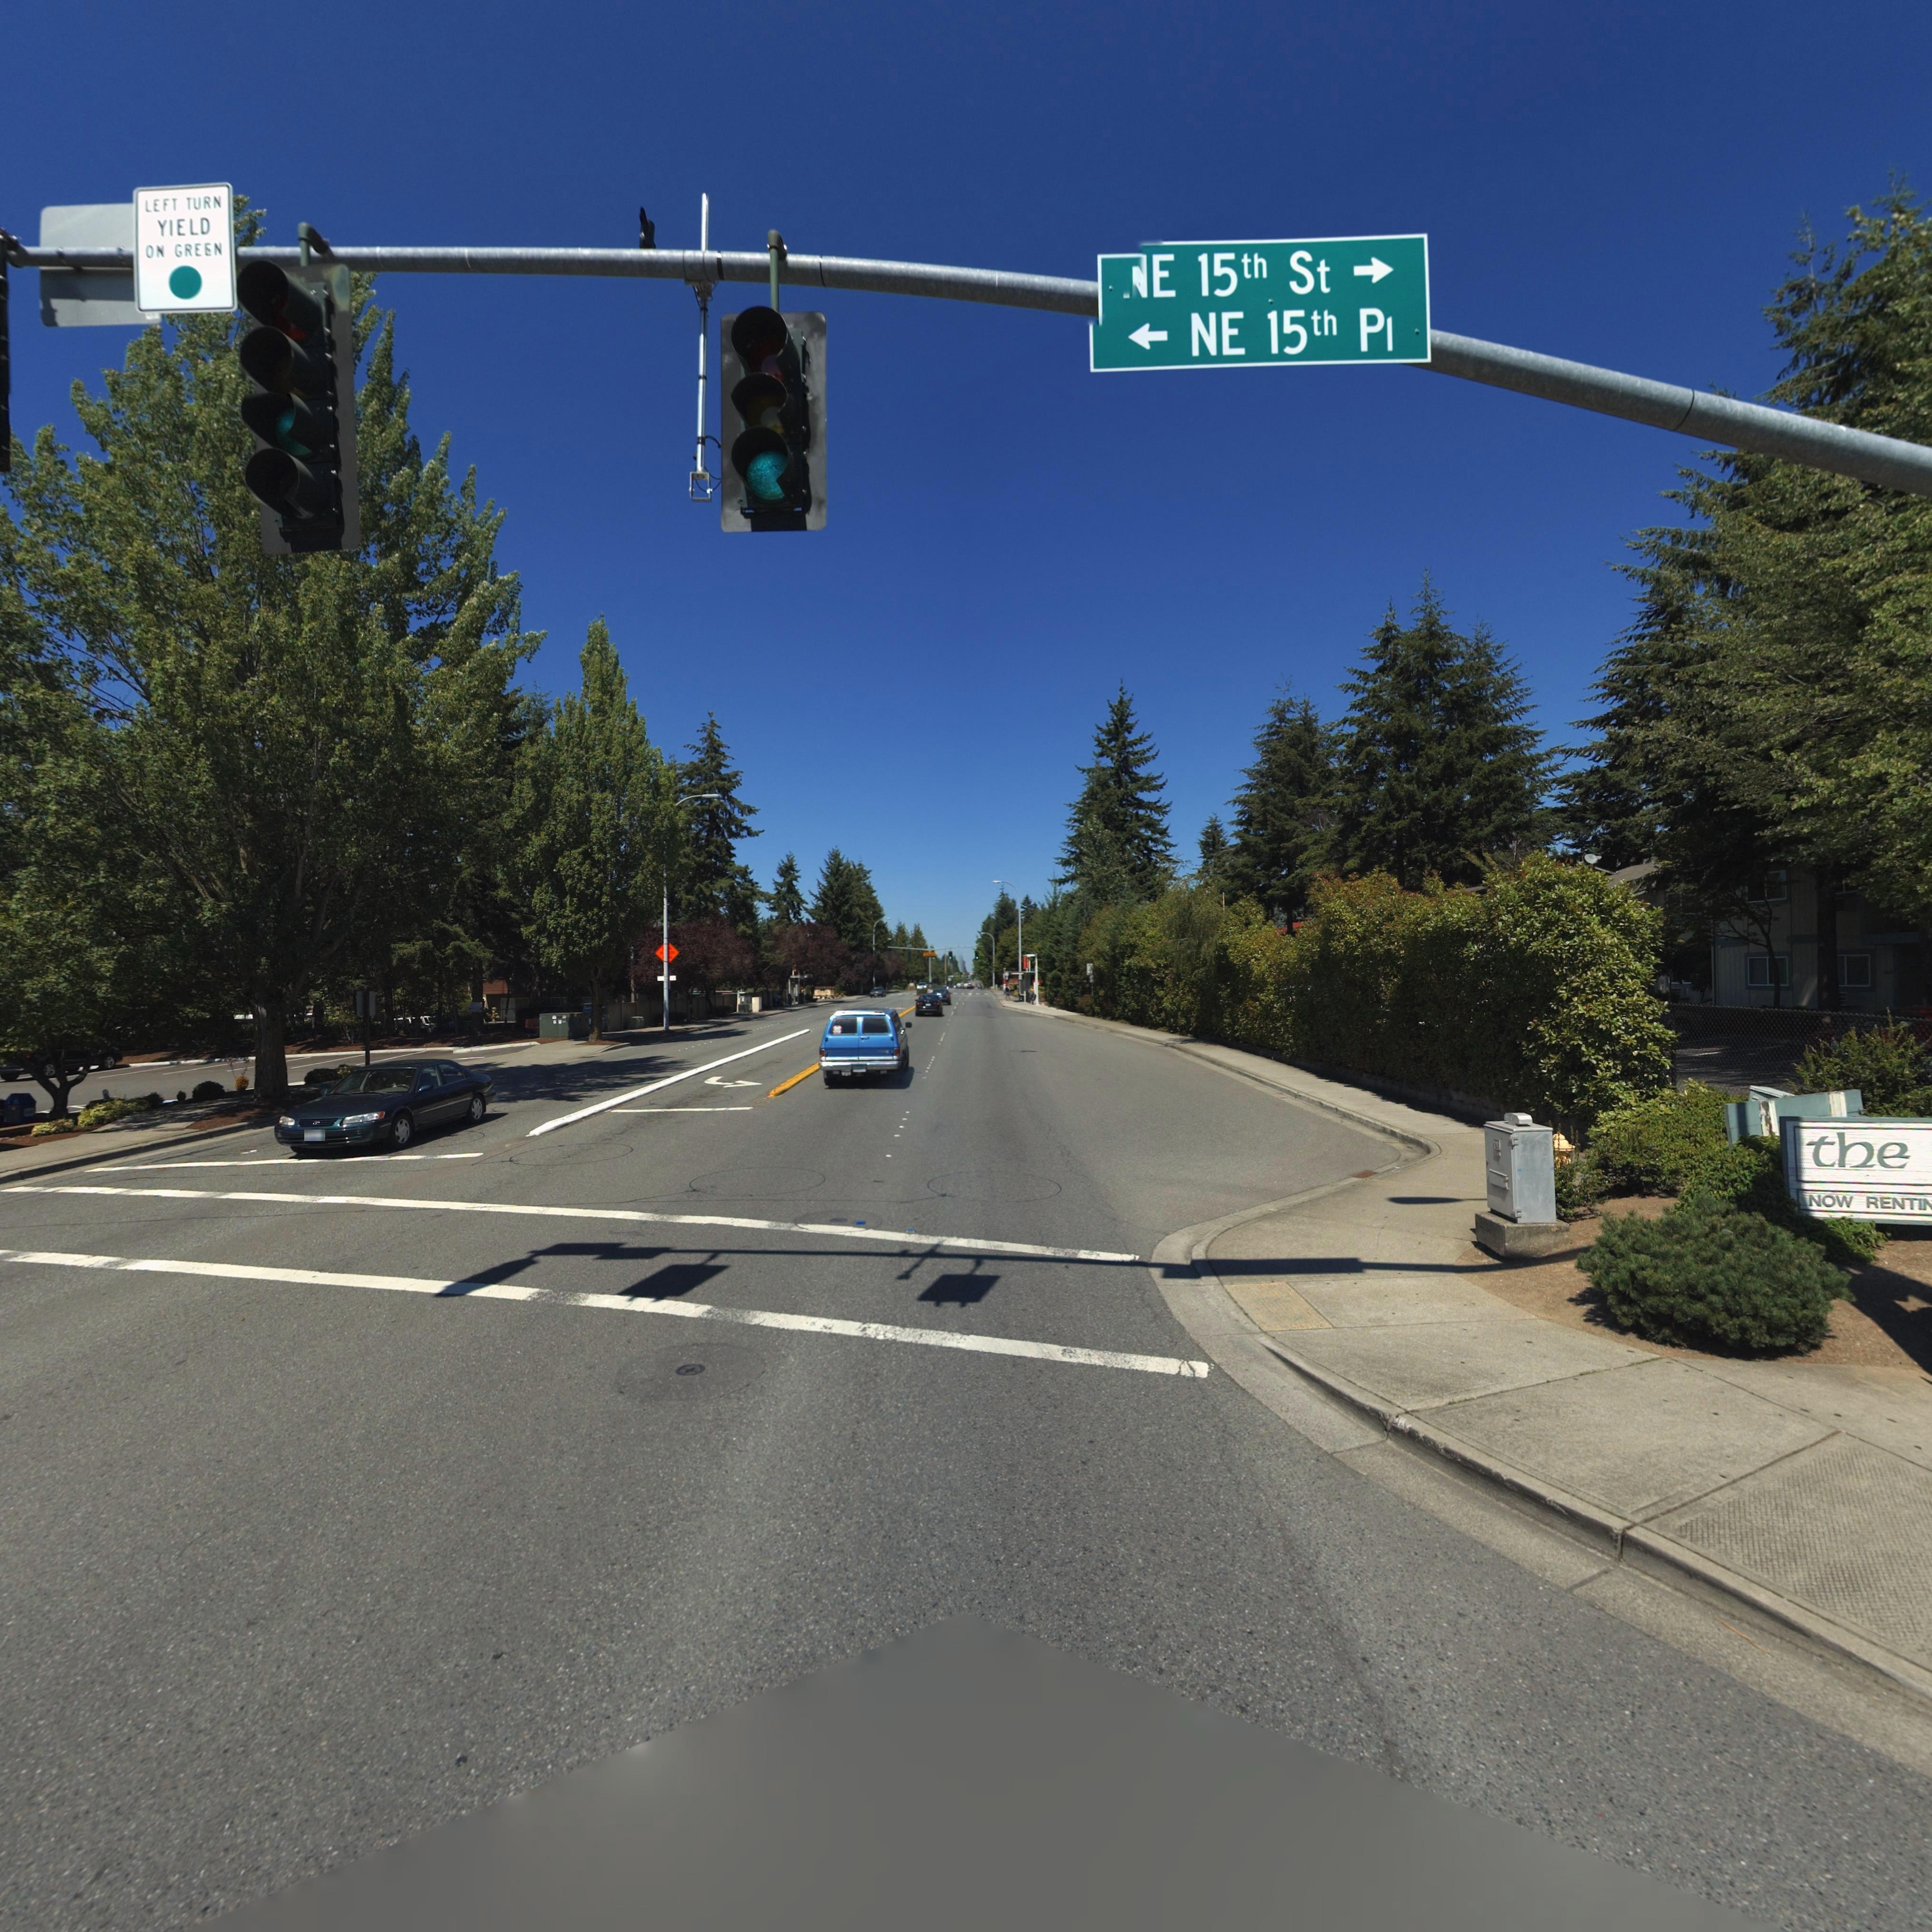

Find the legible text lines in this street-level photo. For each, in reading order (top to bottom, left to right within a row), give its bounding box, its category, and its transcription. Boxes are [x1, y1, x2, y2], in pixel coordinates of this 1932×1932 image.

[1127, 306, 1394, 360] StreetName: < - NE 15th Pl